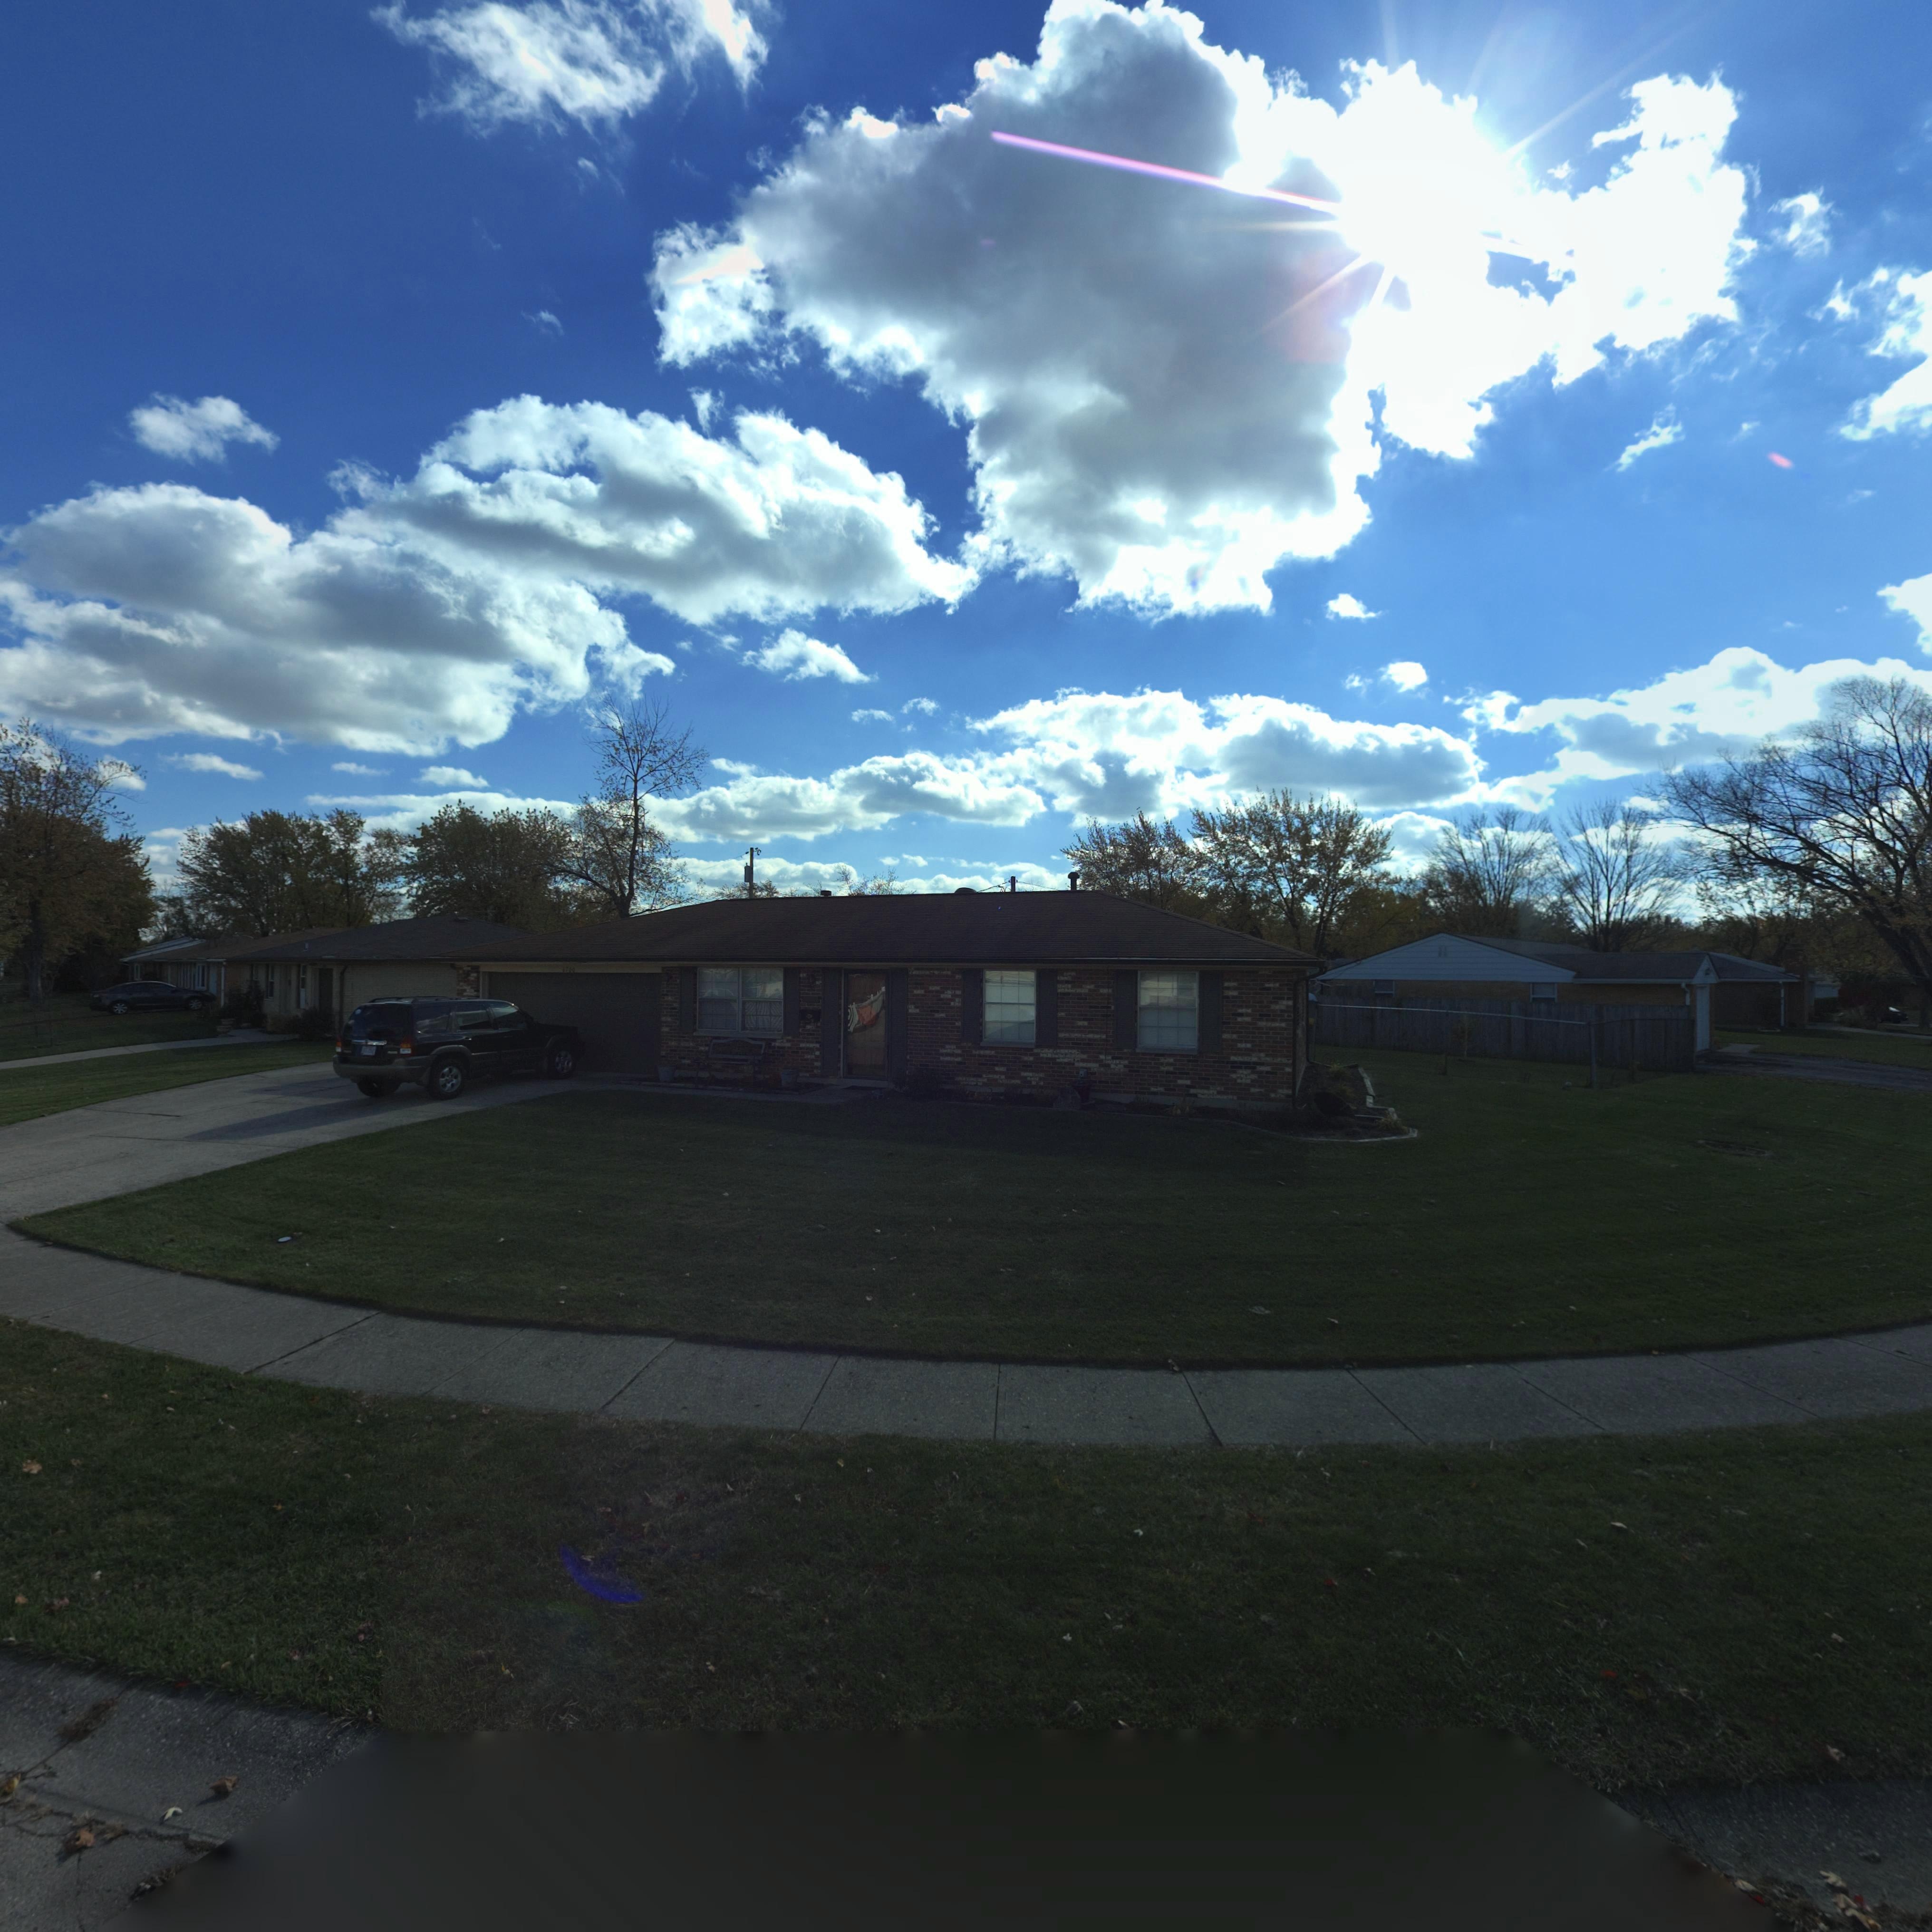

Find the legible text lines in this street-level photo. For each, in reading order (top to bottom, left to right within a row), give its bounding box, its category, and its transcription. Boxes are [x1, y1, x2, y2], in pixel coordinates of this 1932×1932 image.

[562, 966, 576, 973] StreetNumber: 6700